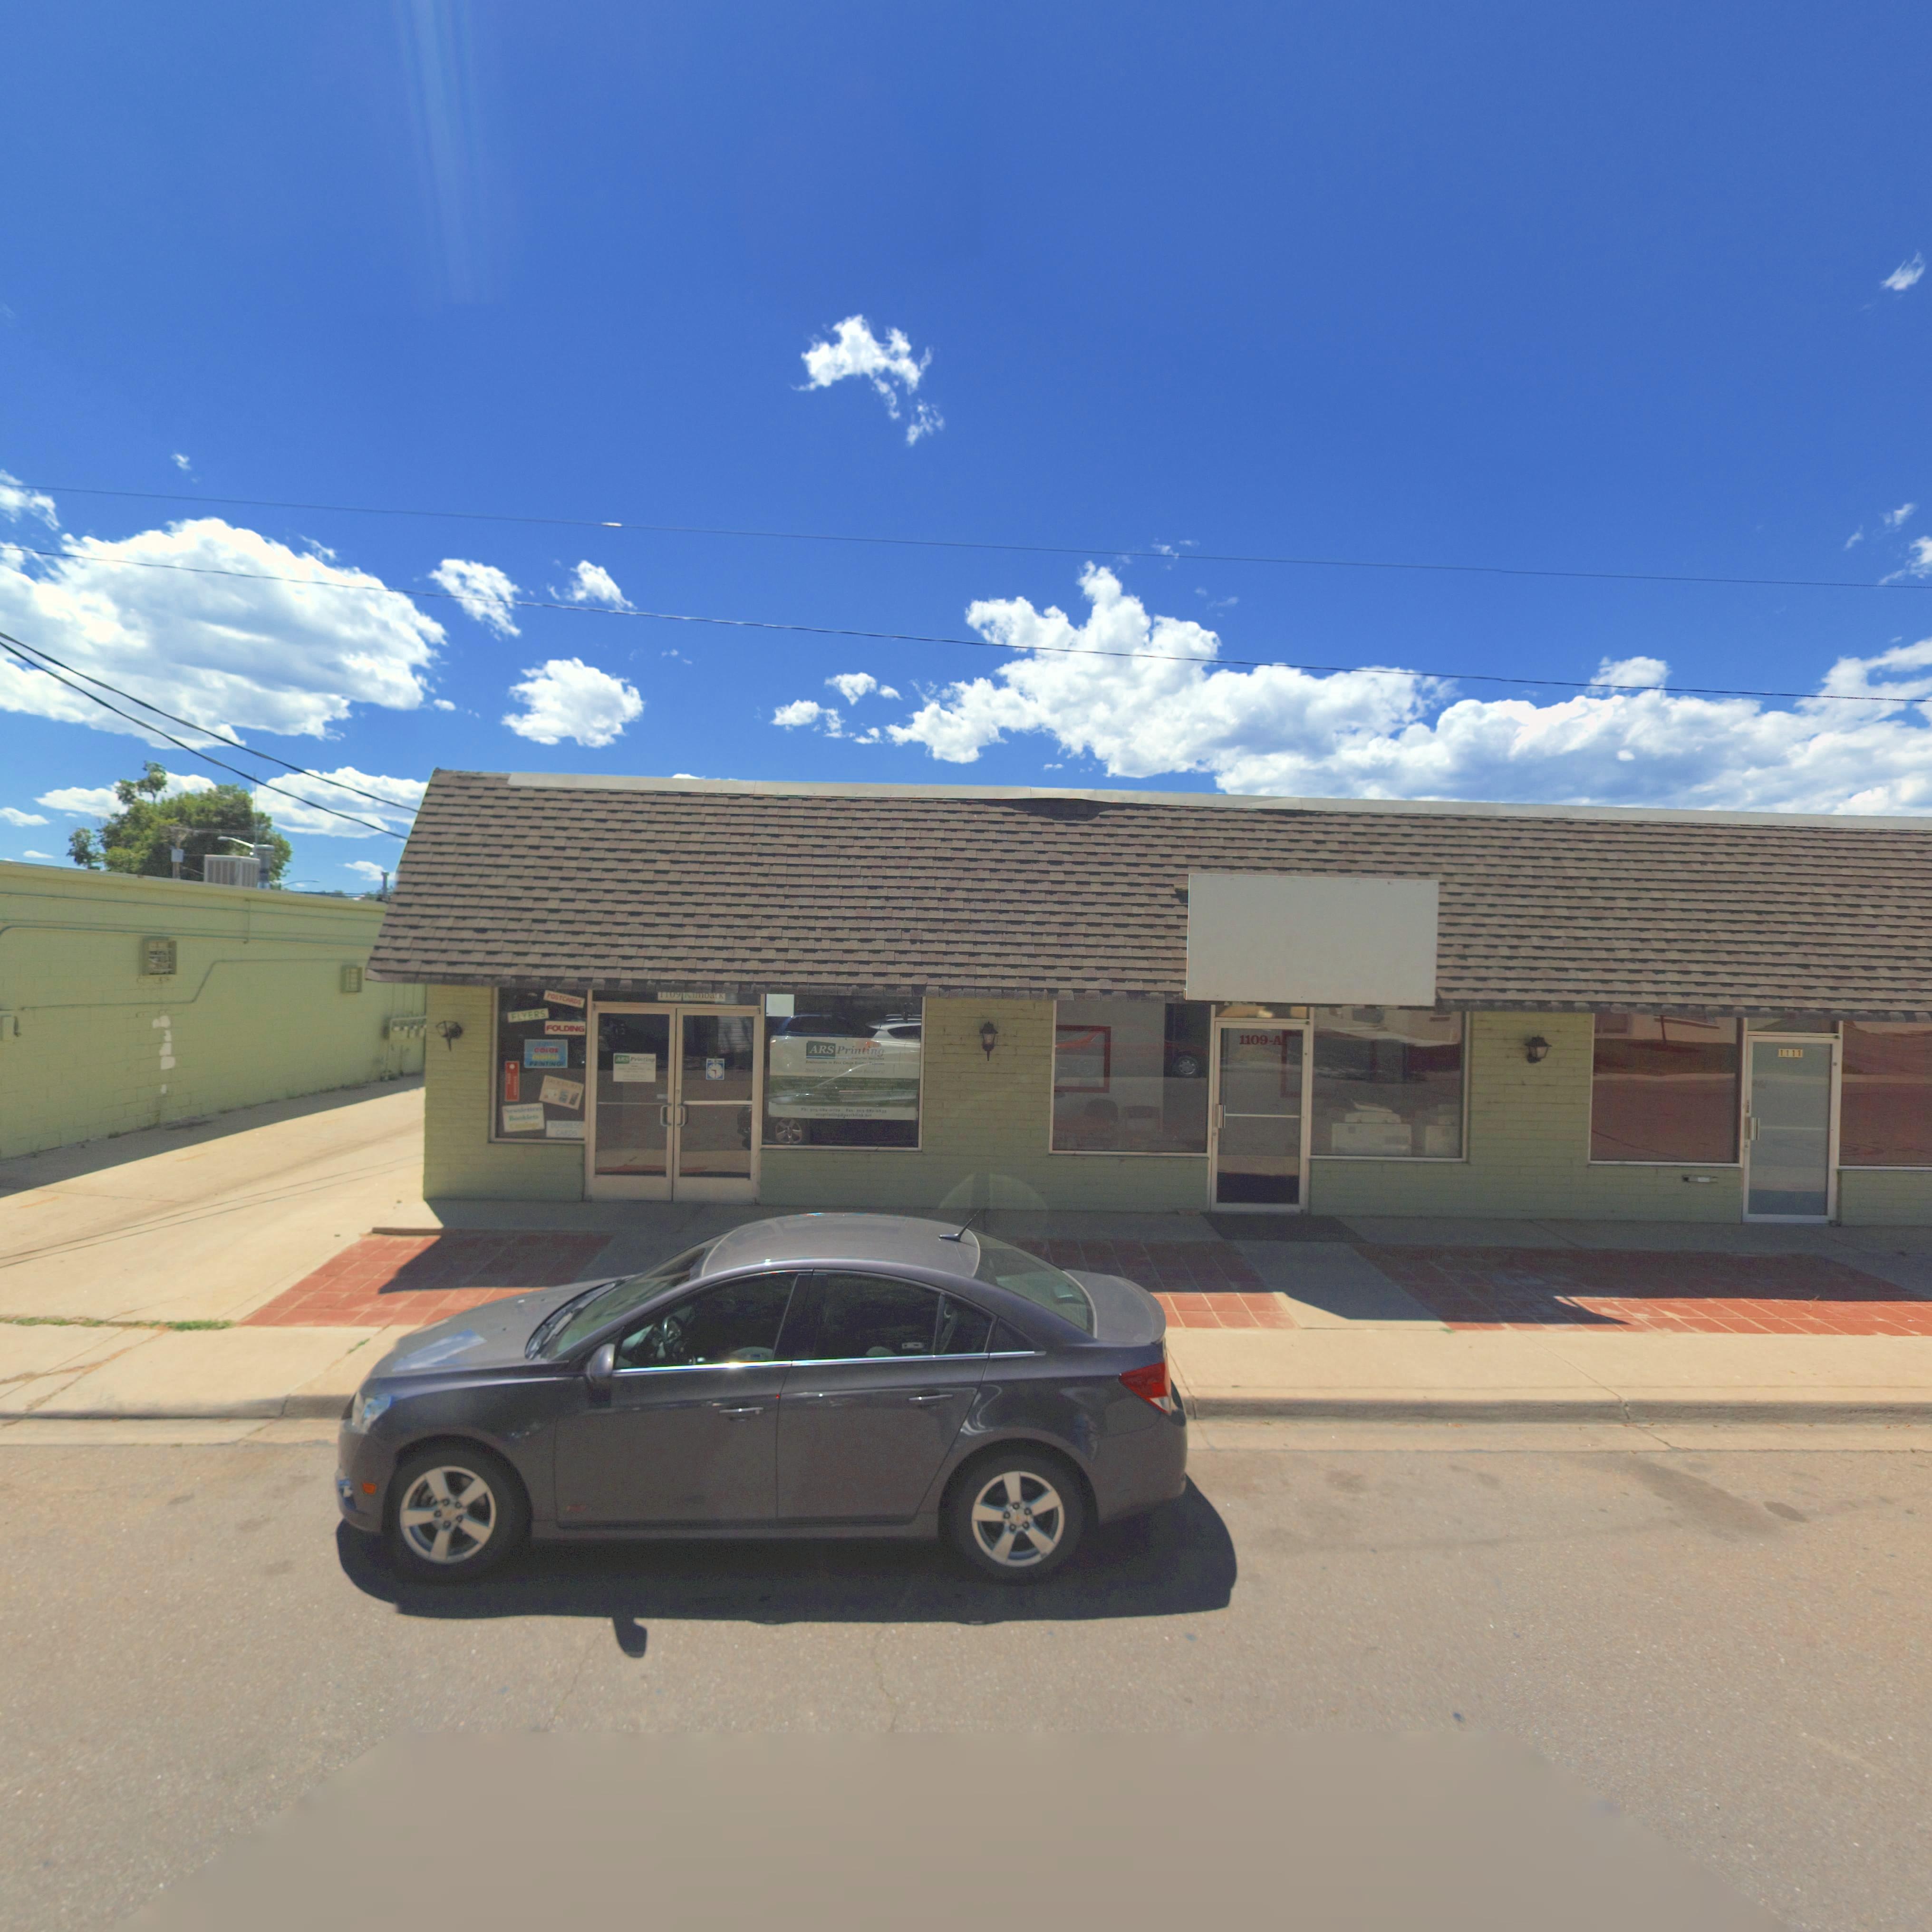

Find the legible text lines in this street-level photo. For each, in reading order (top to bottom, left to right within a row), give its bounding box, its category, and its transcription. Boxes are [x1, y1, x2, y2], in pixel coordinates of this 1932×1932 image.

[659, 992, 681, 999] StreetNumber: 11*9
[1238, 1033, 1284, 1046] StreetNumber: 1109-A
[808, 1044, 886, 1057] BusinessName: ARS Printing
[1778, 1049, 1801, 1057] StreetNumber: 1111
[614, 1056, 656, 1063] BusinessName: ARS Pr***i*g